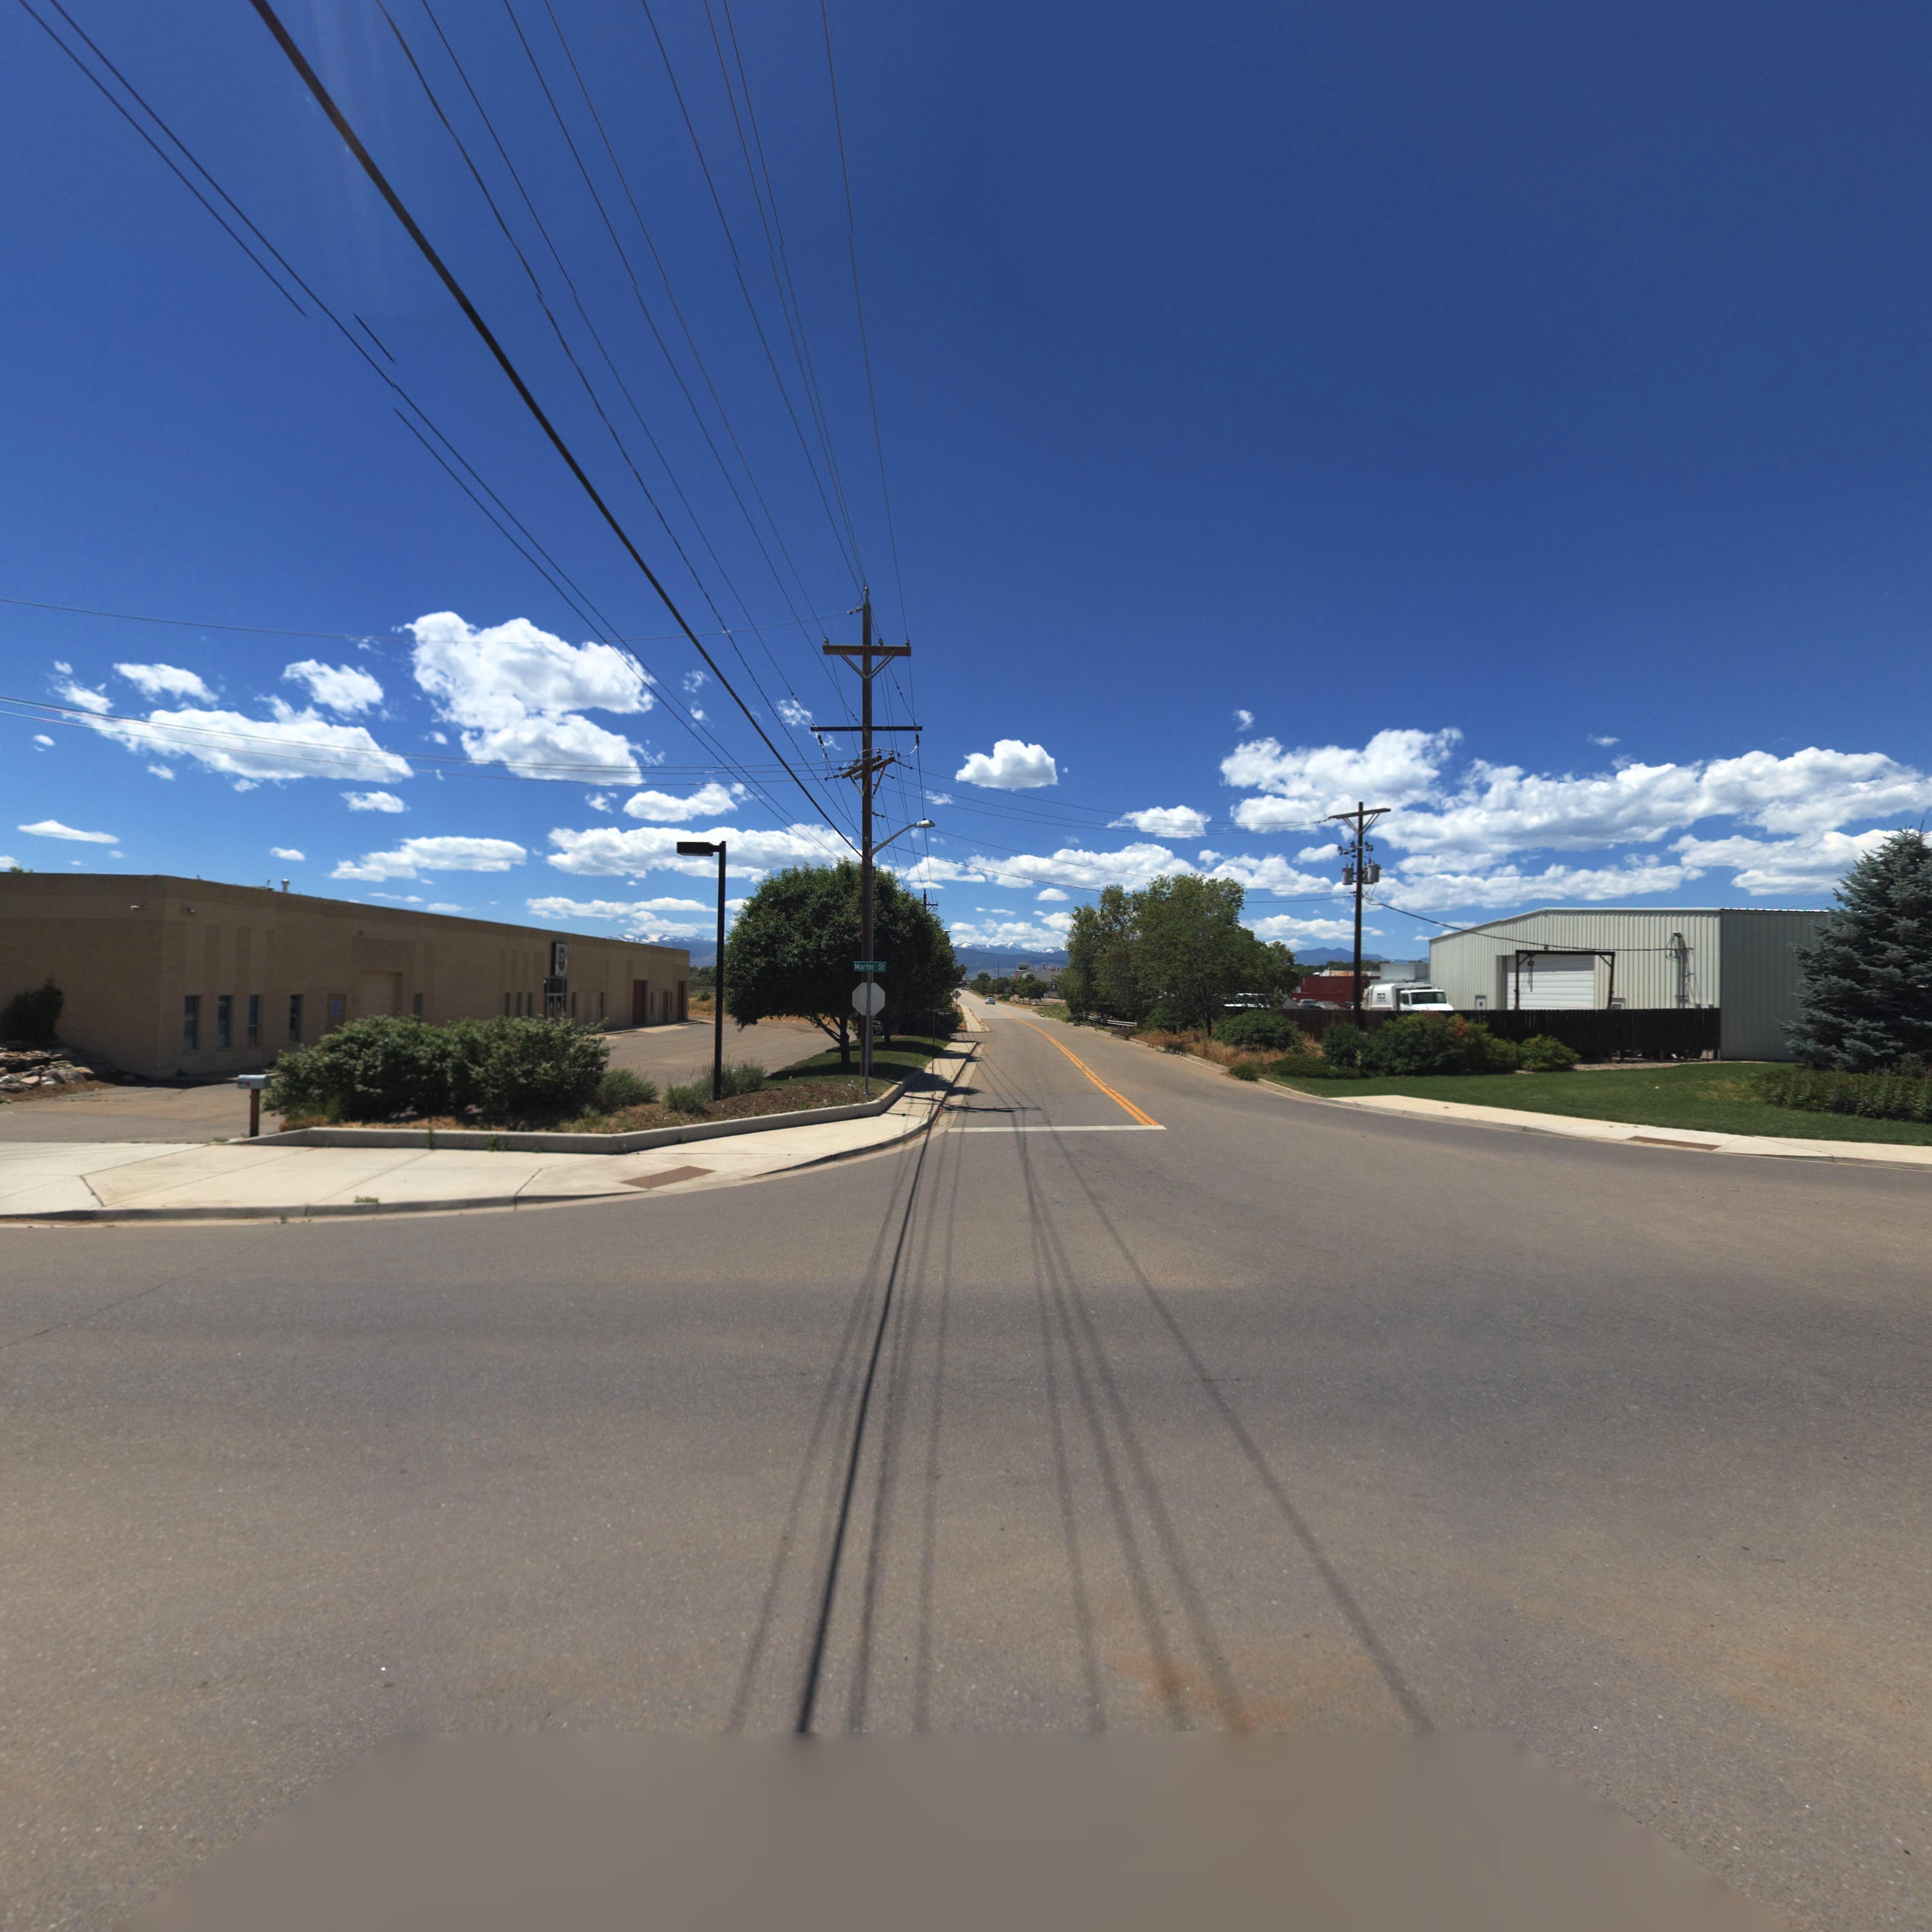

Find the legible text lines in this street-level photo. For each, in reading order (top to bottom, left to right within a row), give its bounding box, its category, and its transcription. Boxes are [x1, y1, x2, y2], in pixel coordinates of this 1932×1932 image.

[854, 963, 885, 971] StreetName: Martin St